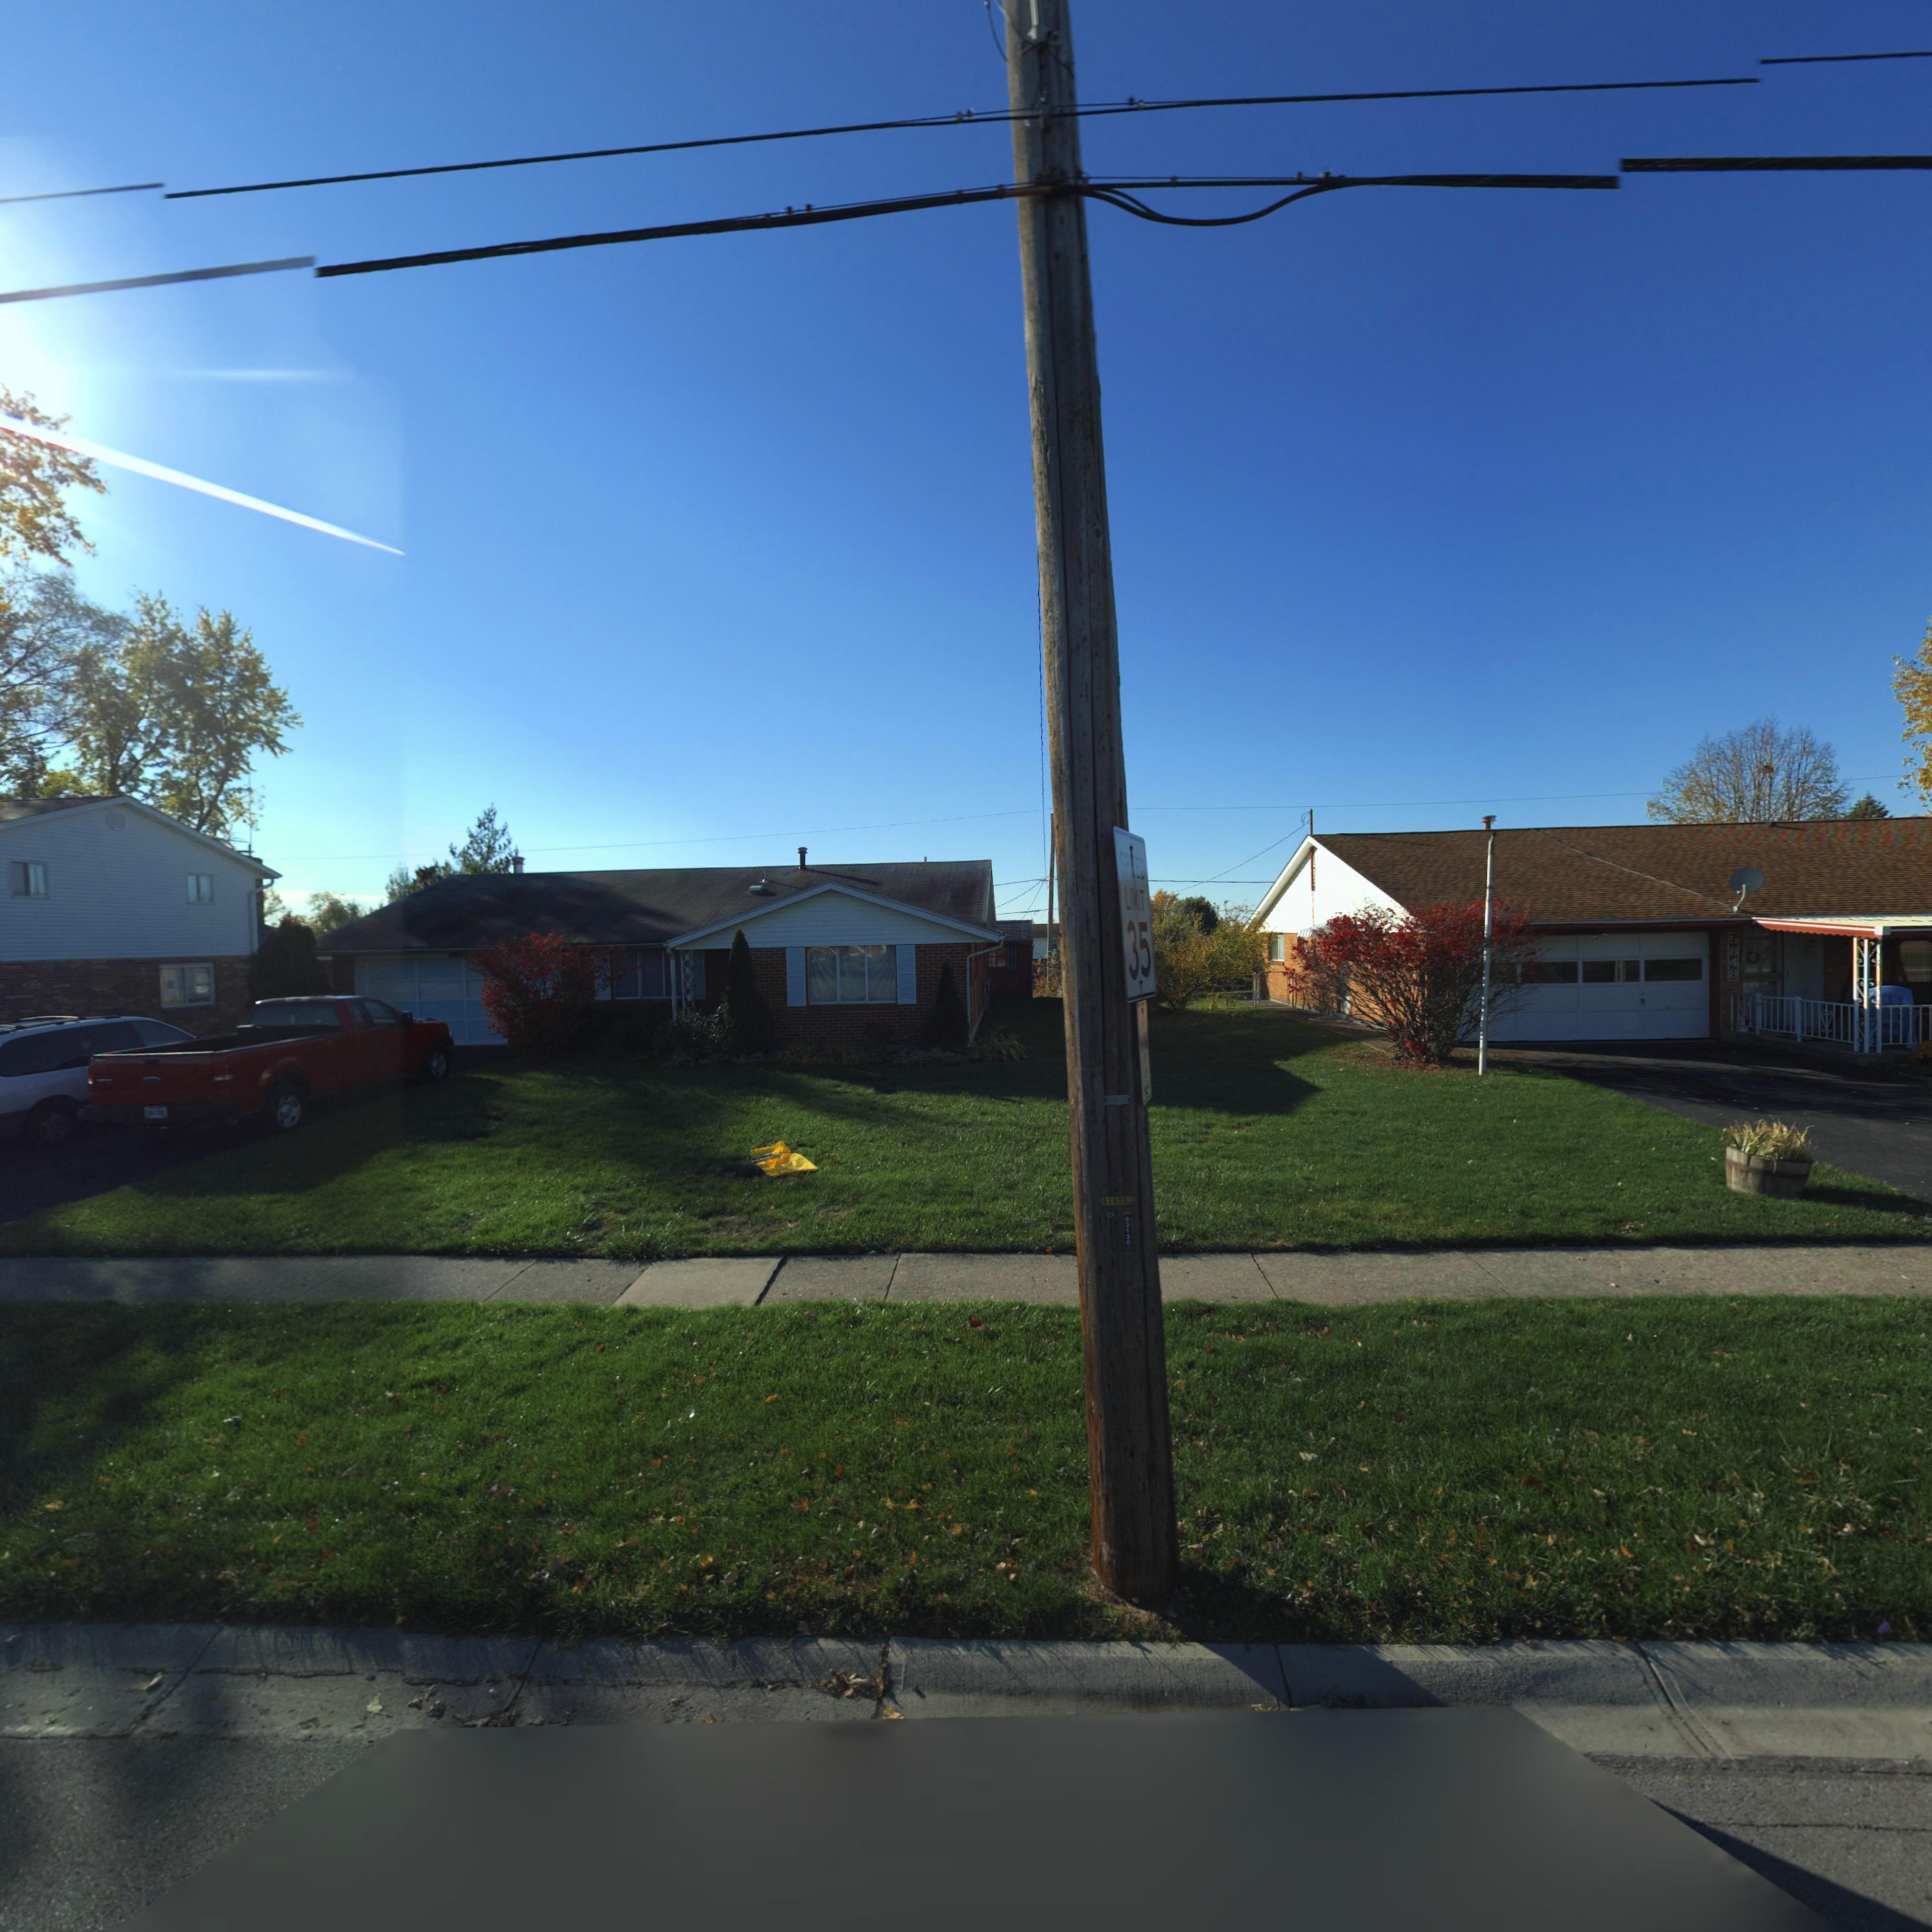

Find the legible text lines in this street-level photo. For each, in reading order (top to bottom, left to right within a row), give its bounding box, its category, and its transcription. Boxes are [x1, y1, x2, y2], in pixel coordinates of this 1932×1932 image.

[1729, 935, 1738, 979] StreetNumber: 5848